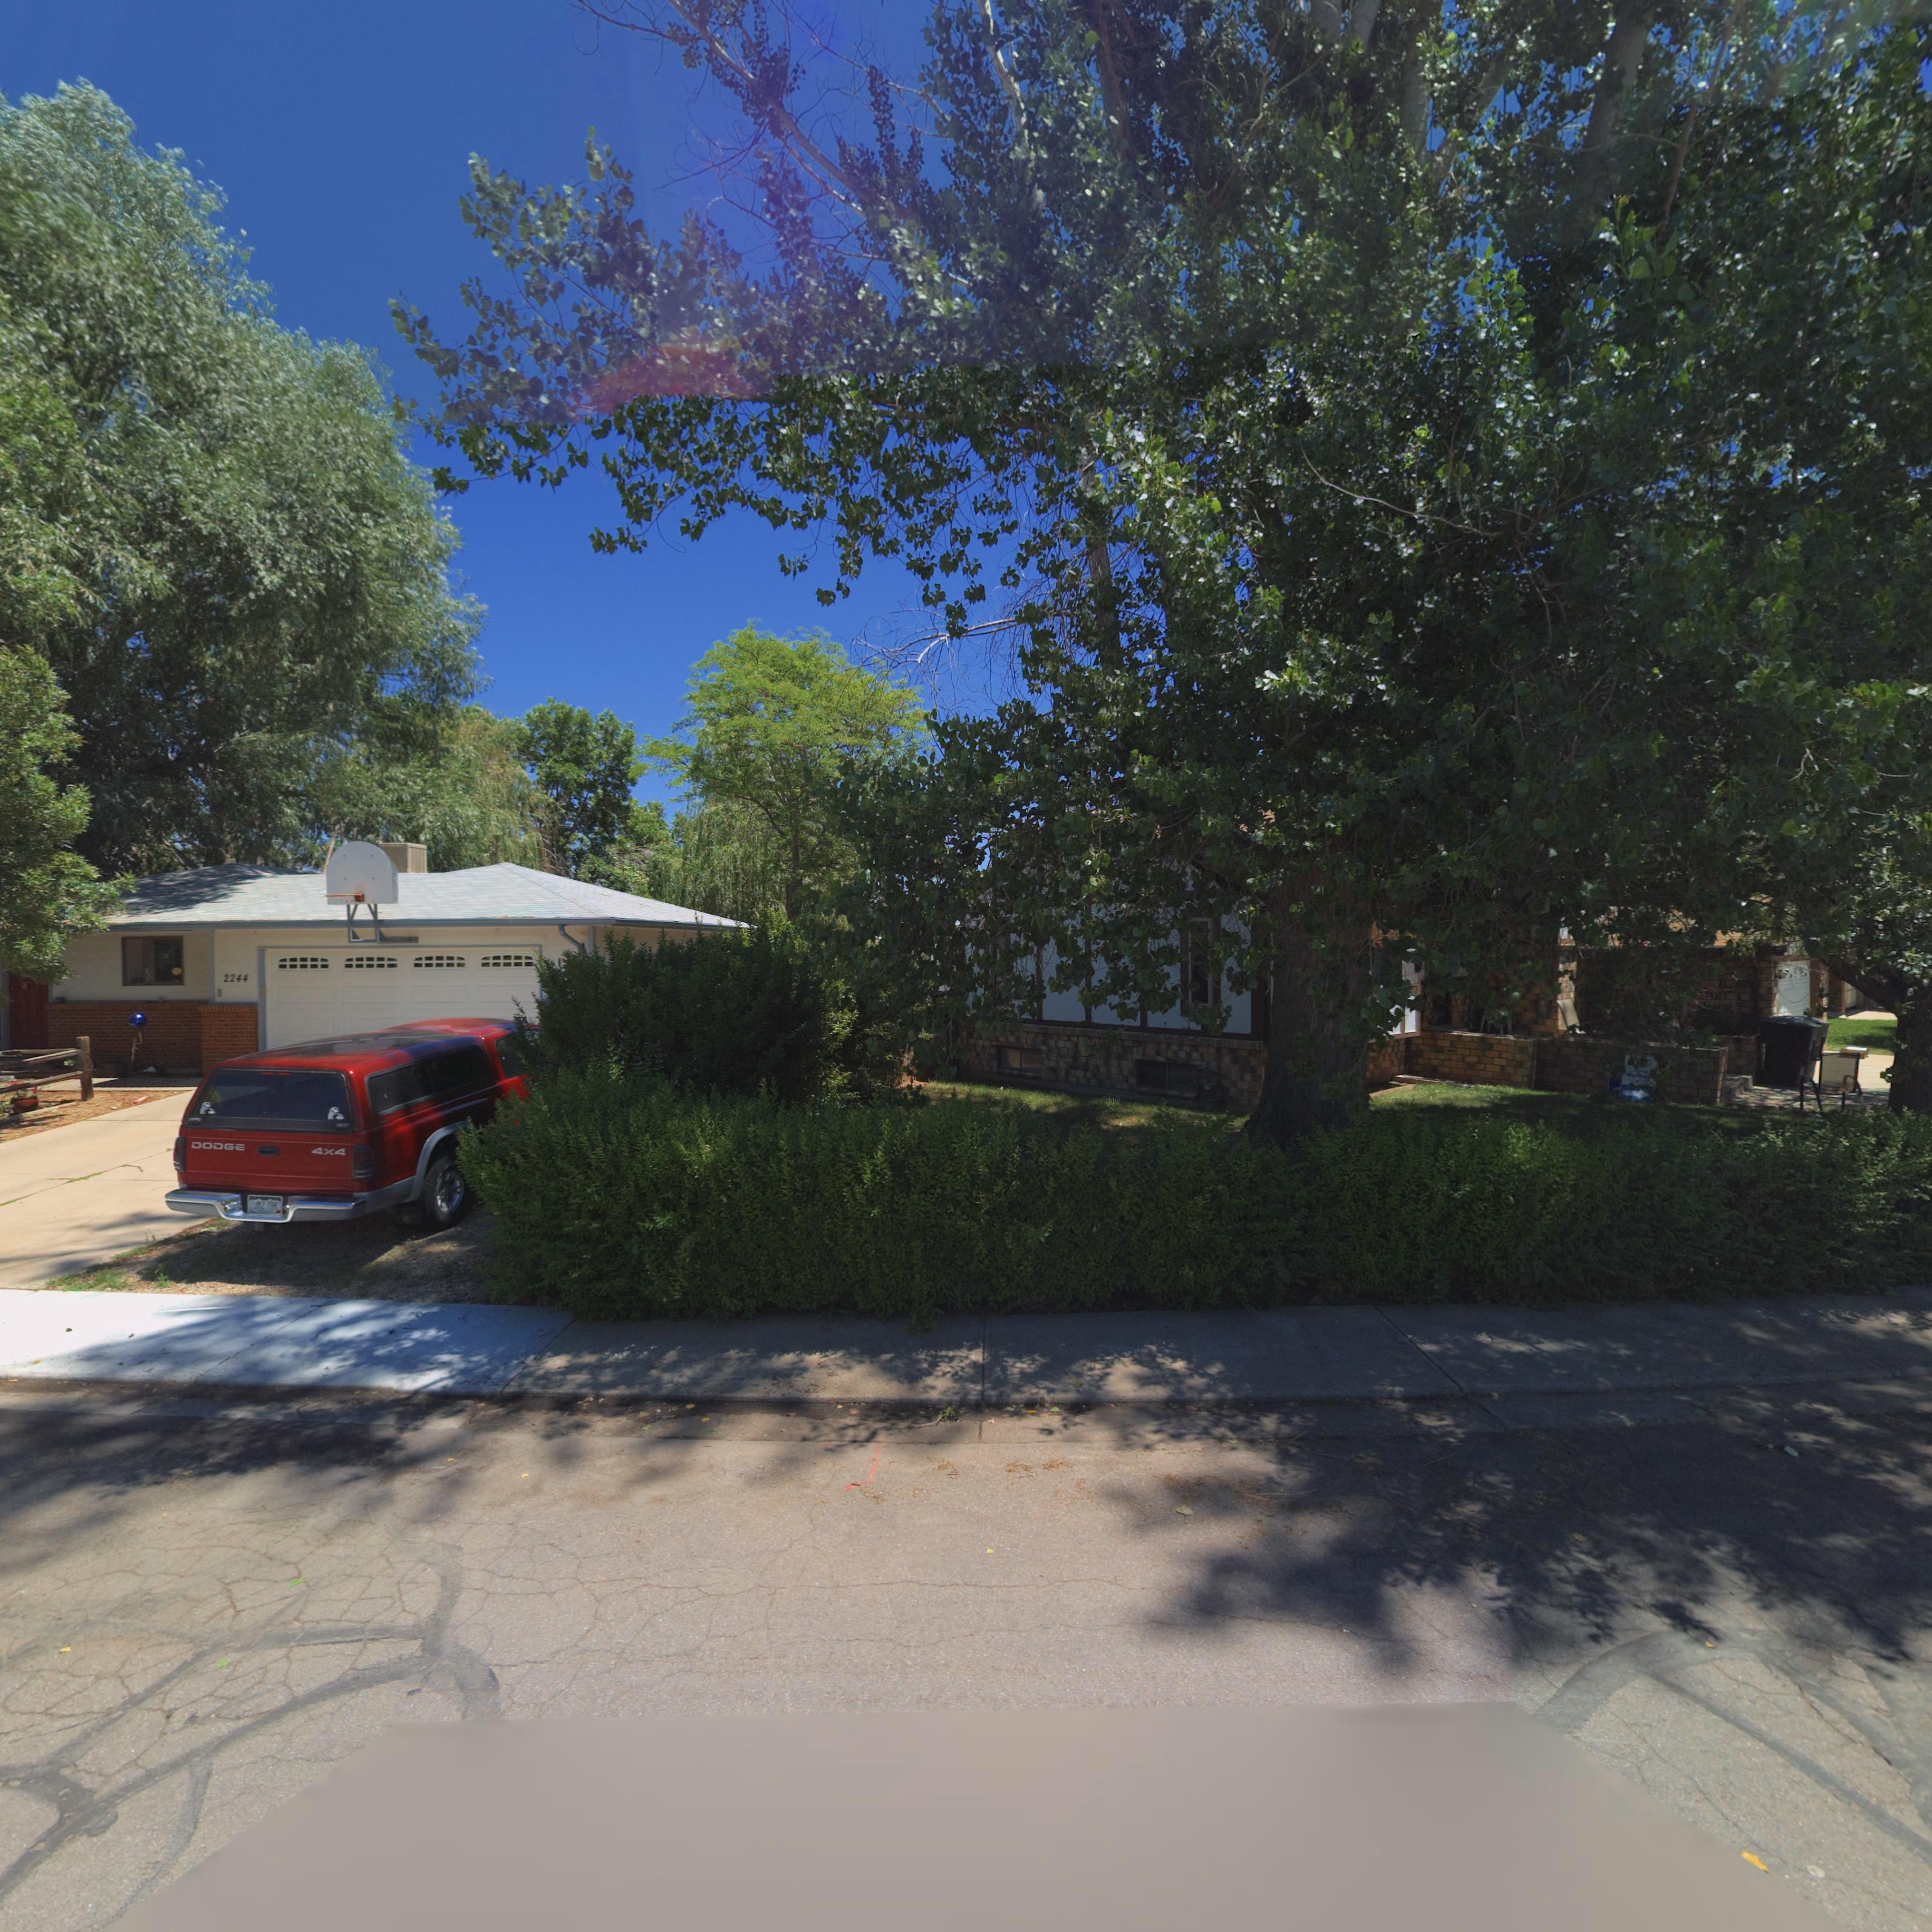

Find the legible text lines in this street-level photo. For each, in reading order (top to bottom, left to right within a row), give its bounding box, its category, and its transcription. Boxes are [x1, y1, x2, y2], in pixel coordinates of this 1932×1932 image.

[222, 973, 249, 983] StreetNumber: 2244